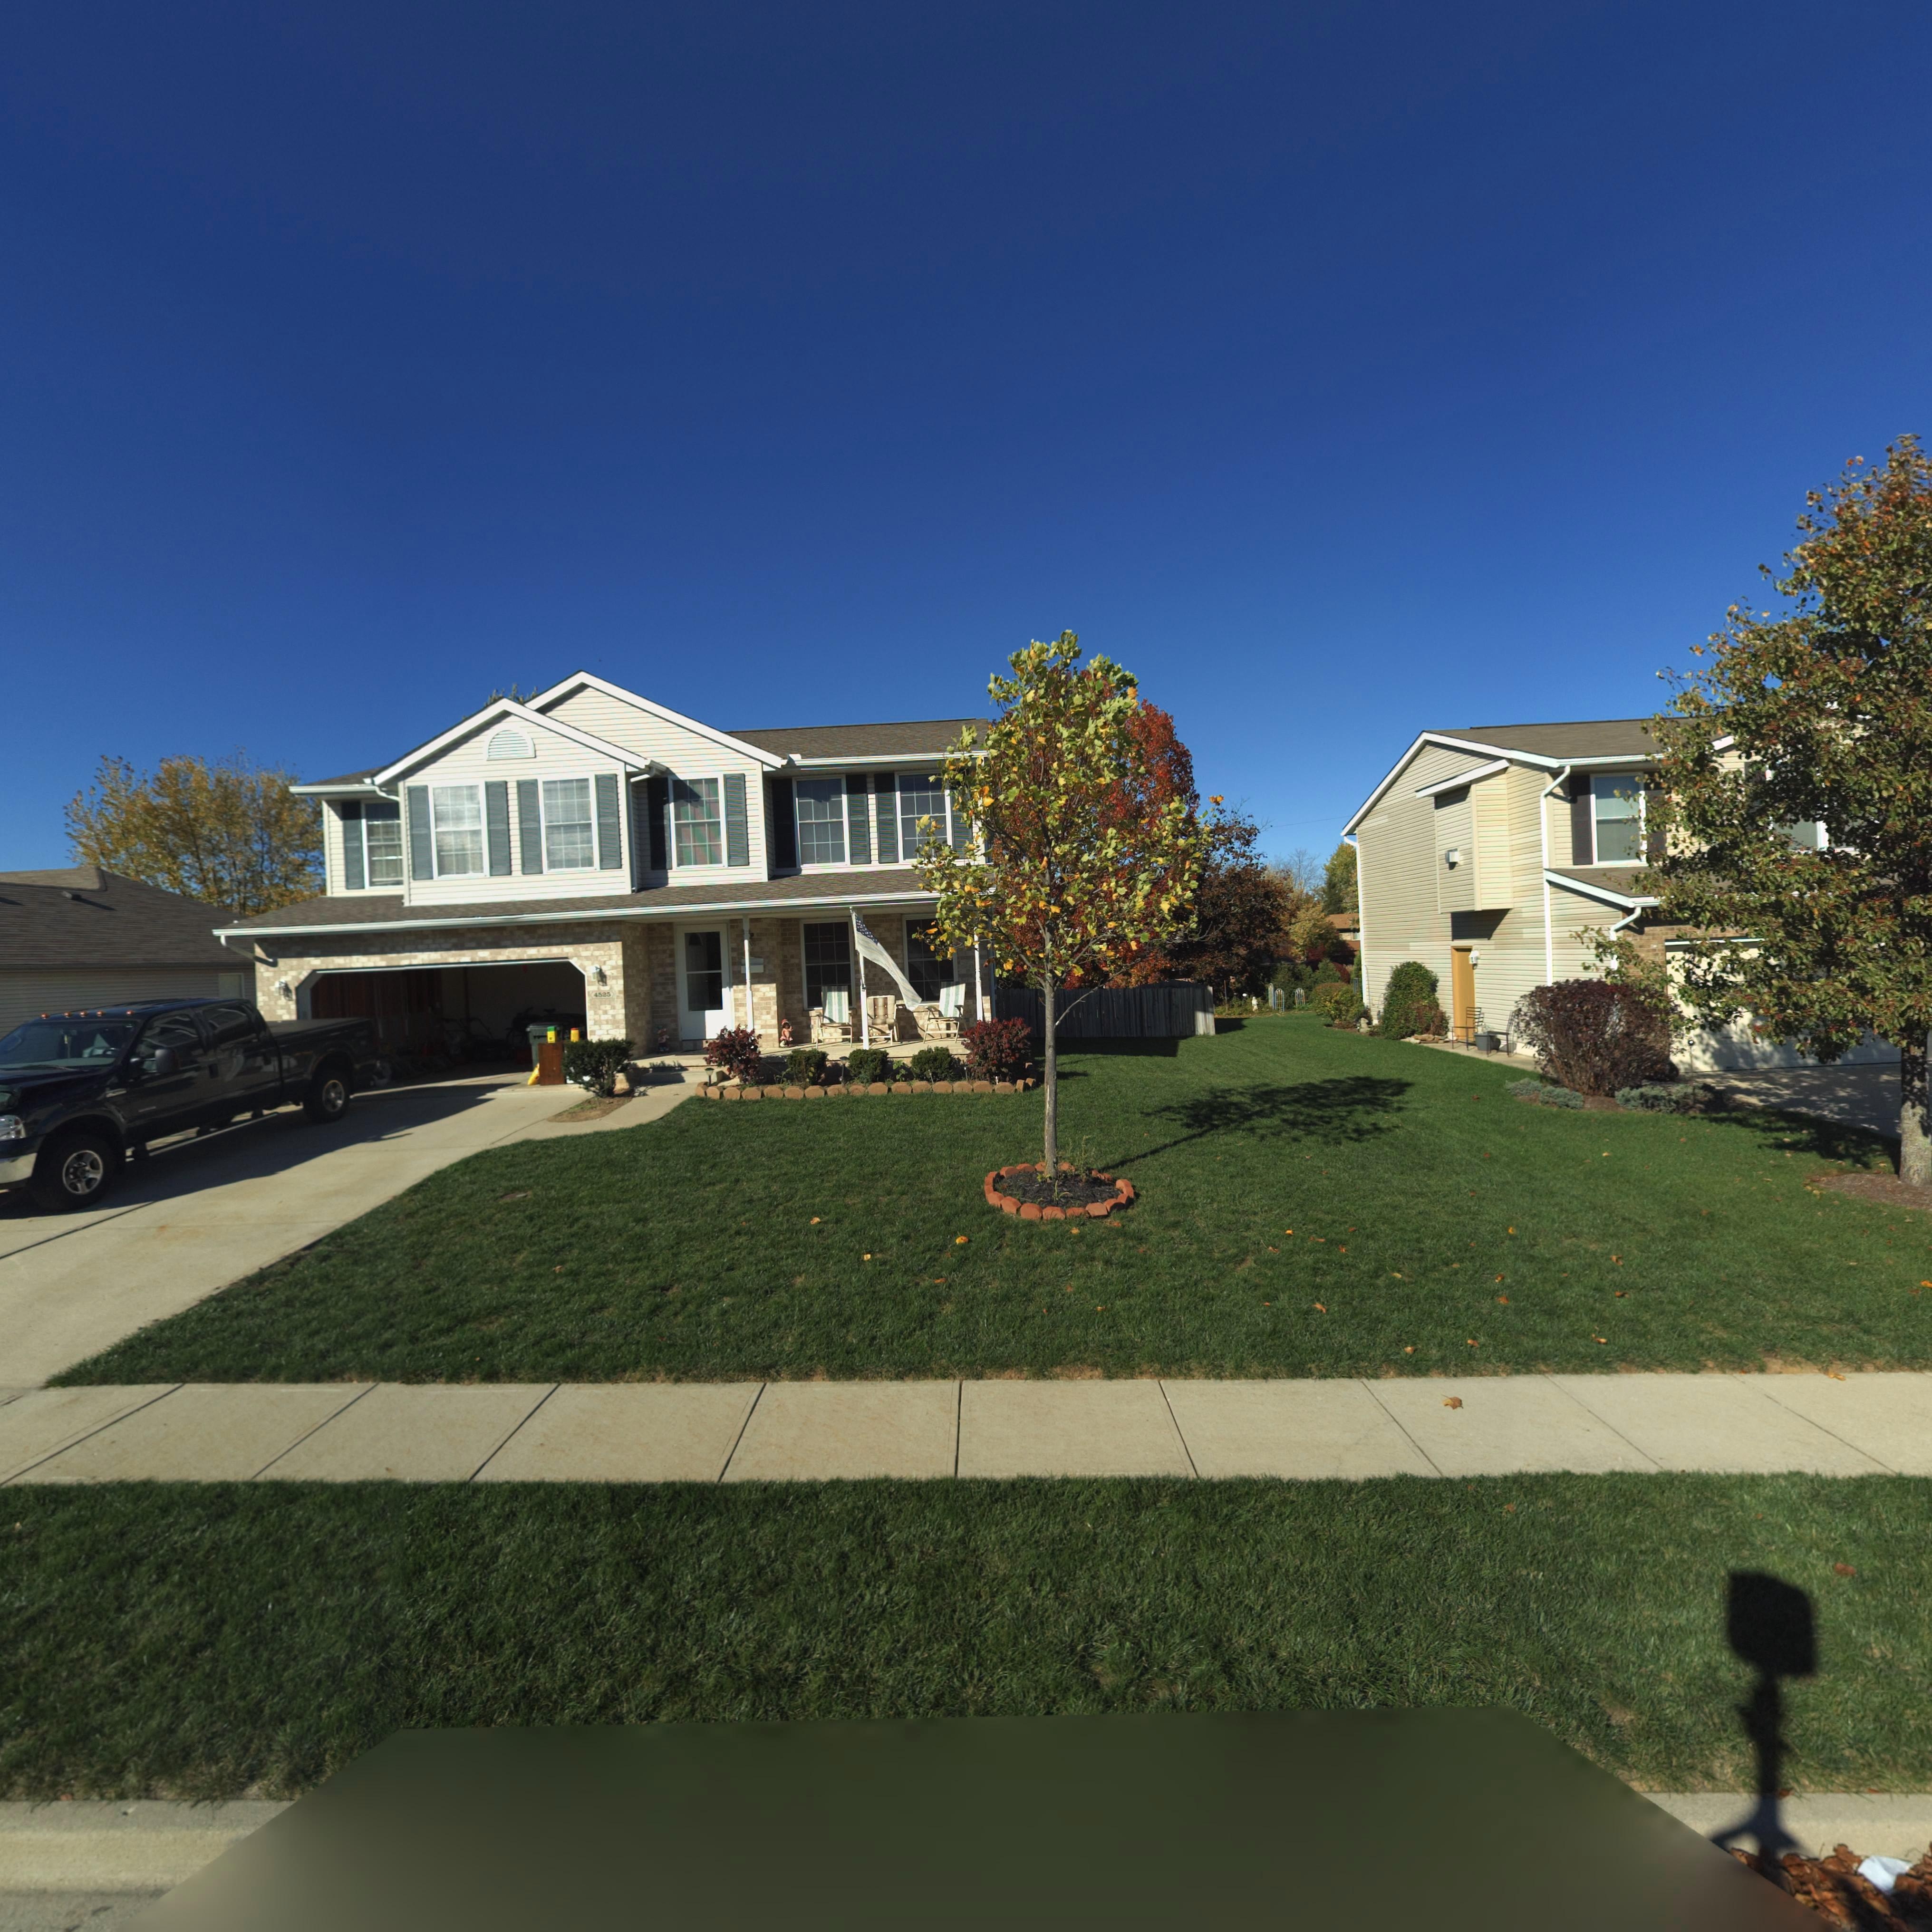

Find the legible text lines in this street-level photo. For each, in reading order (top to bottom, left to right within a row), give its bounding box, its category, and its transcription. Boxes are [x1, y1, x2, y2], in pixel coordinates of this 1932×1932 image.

[592, 991, 612, 998] StreetNumber: 45**